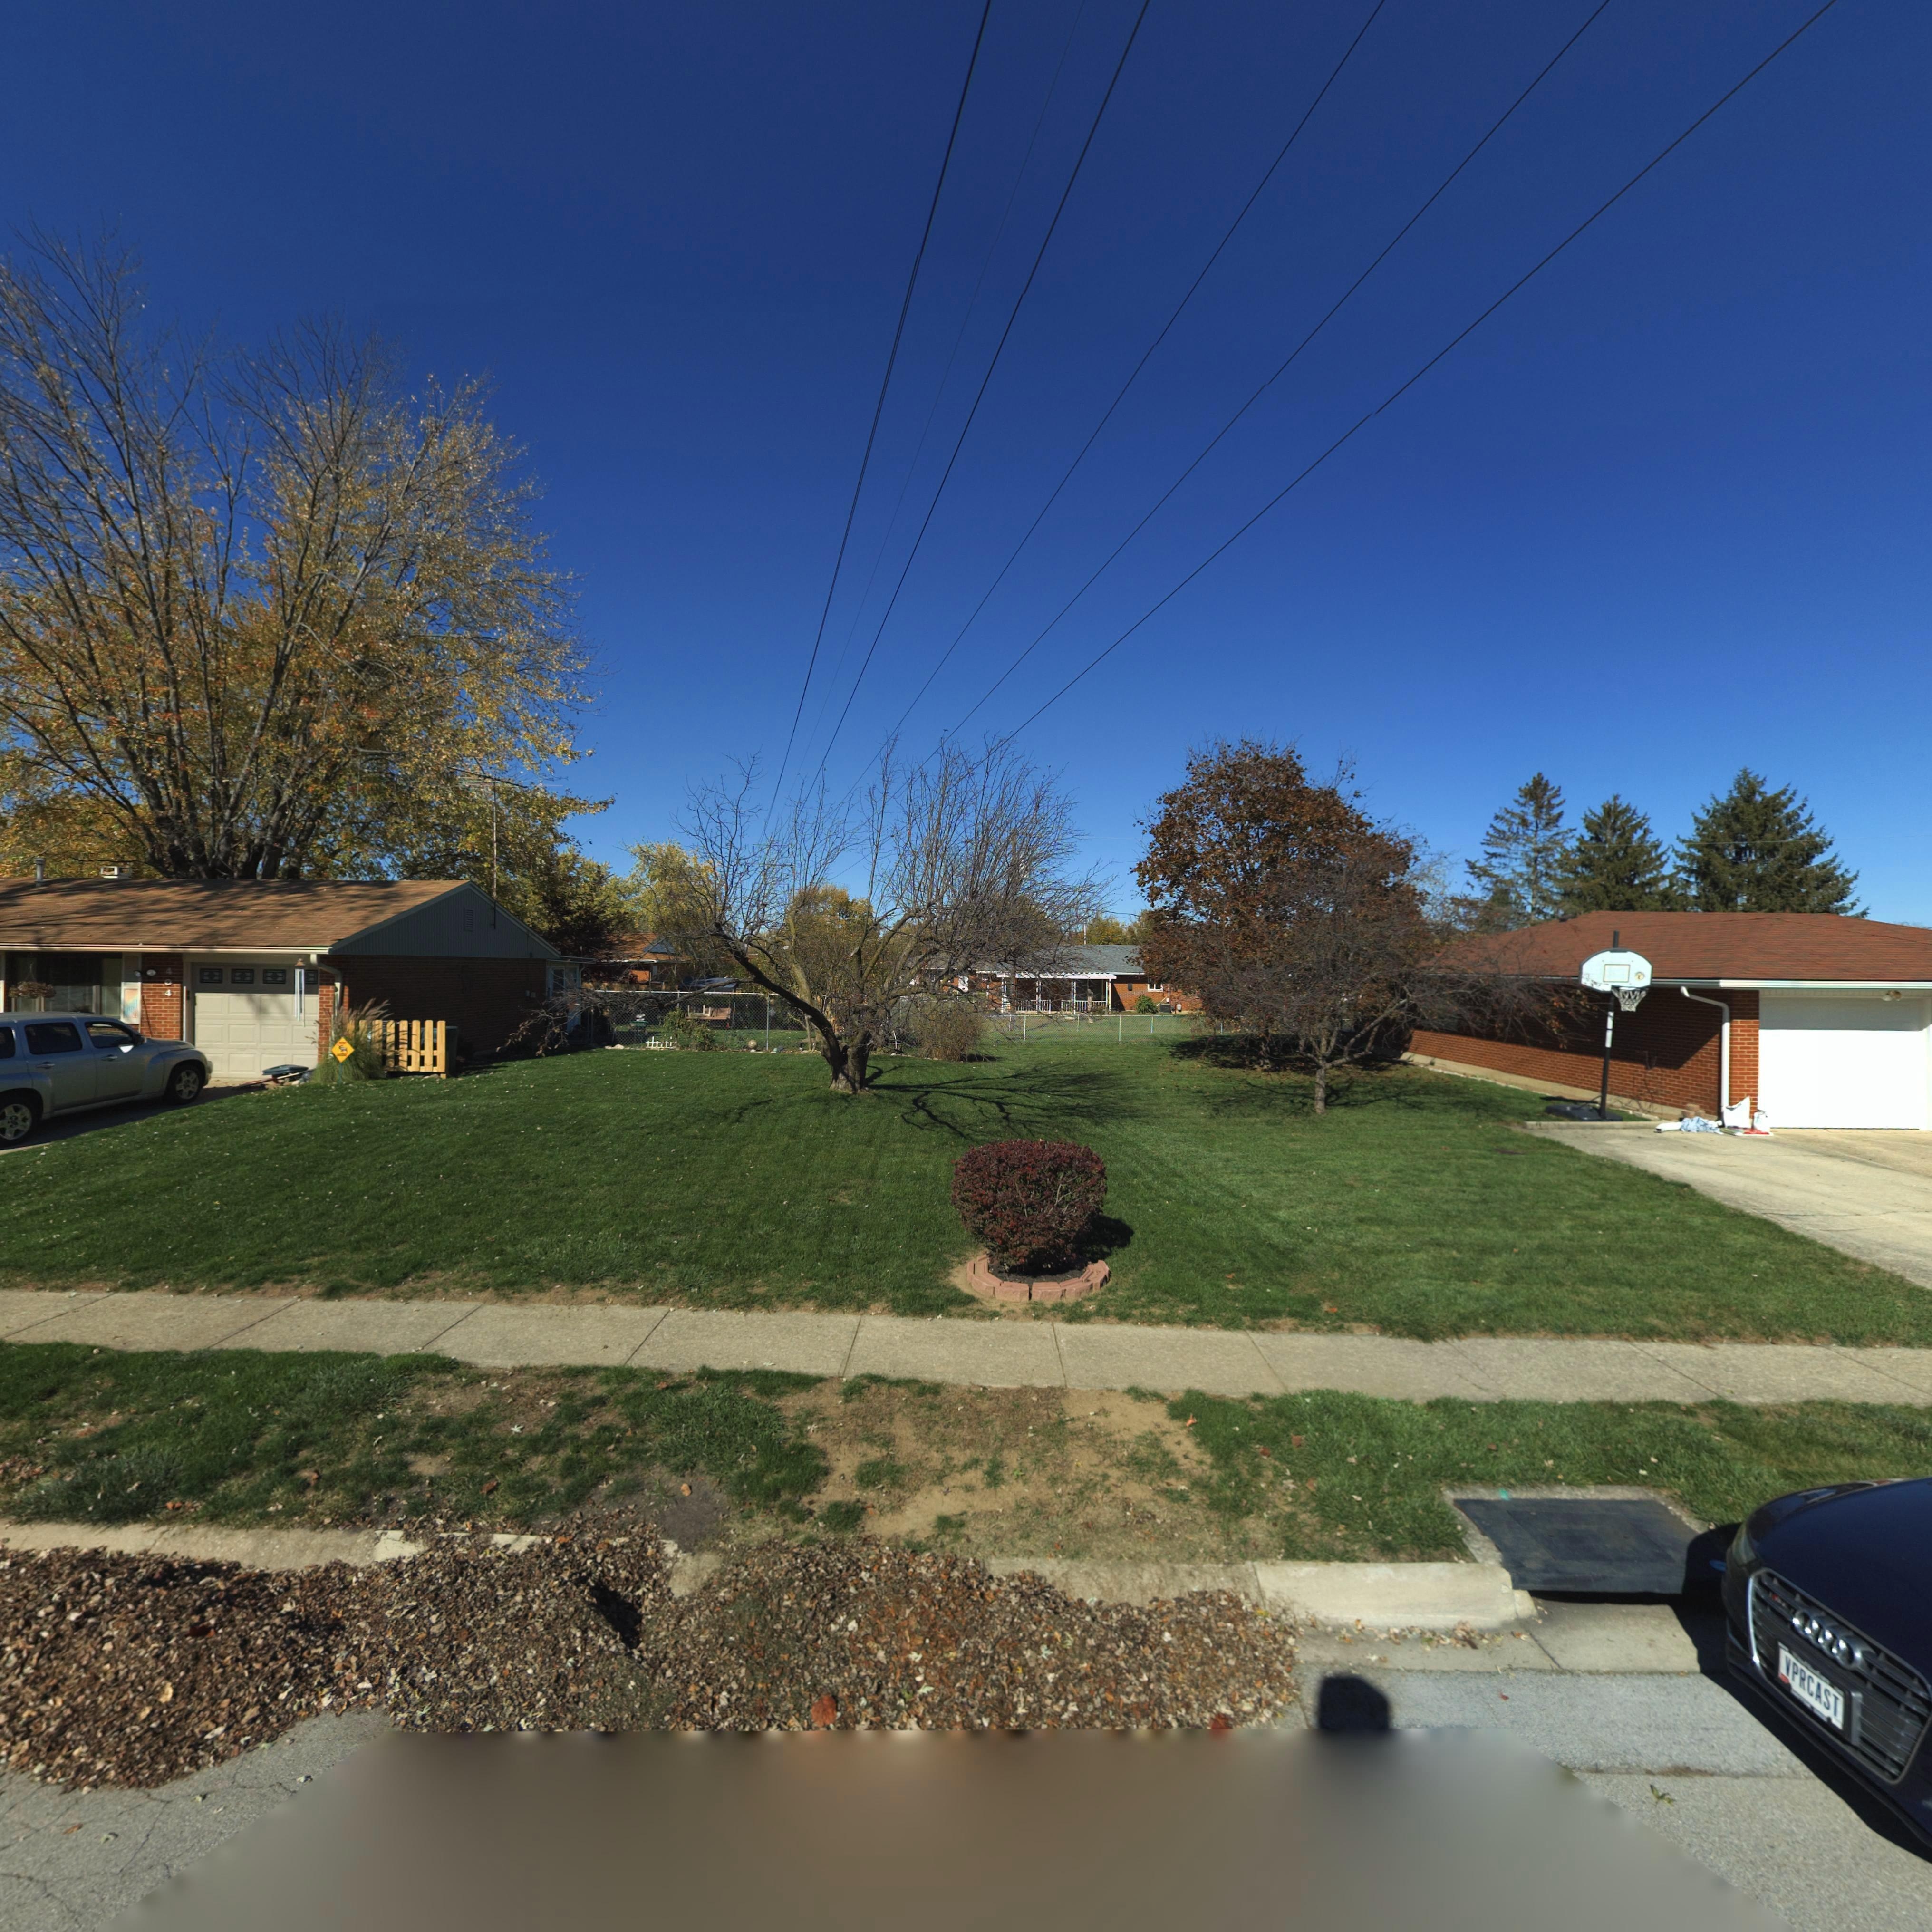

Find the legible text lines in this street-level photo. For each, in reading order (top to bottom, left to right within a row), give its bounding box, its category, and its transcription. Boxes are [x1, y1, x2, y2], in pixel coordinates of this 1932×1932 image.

[164, 966, 173, 997] StreetNumber: 404